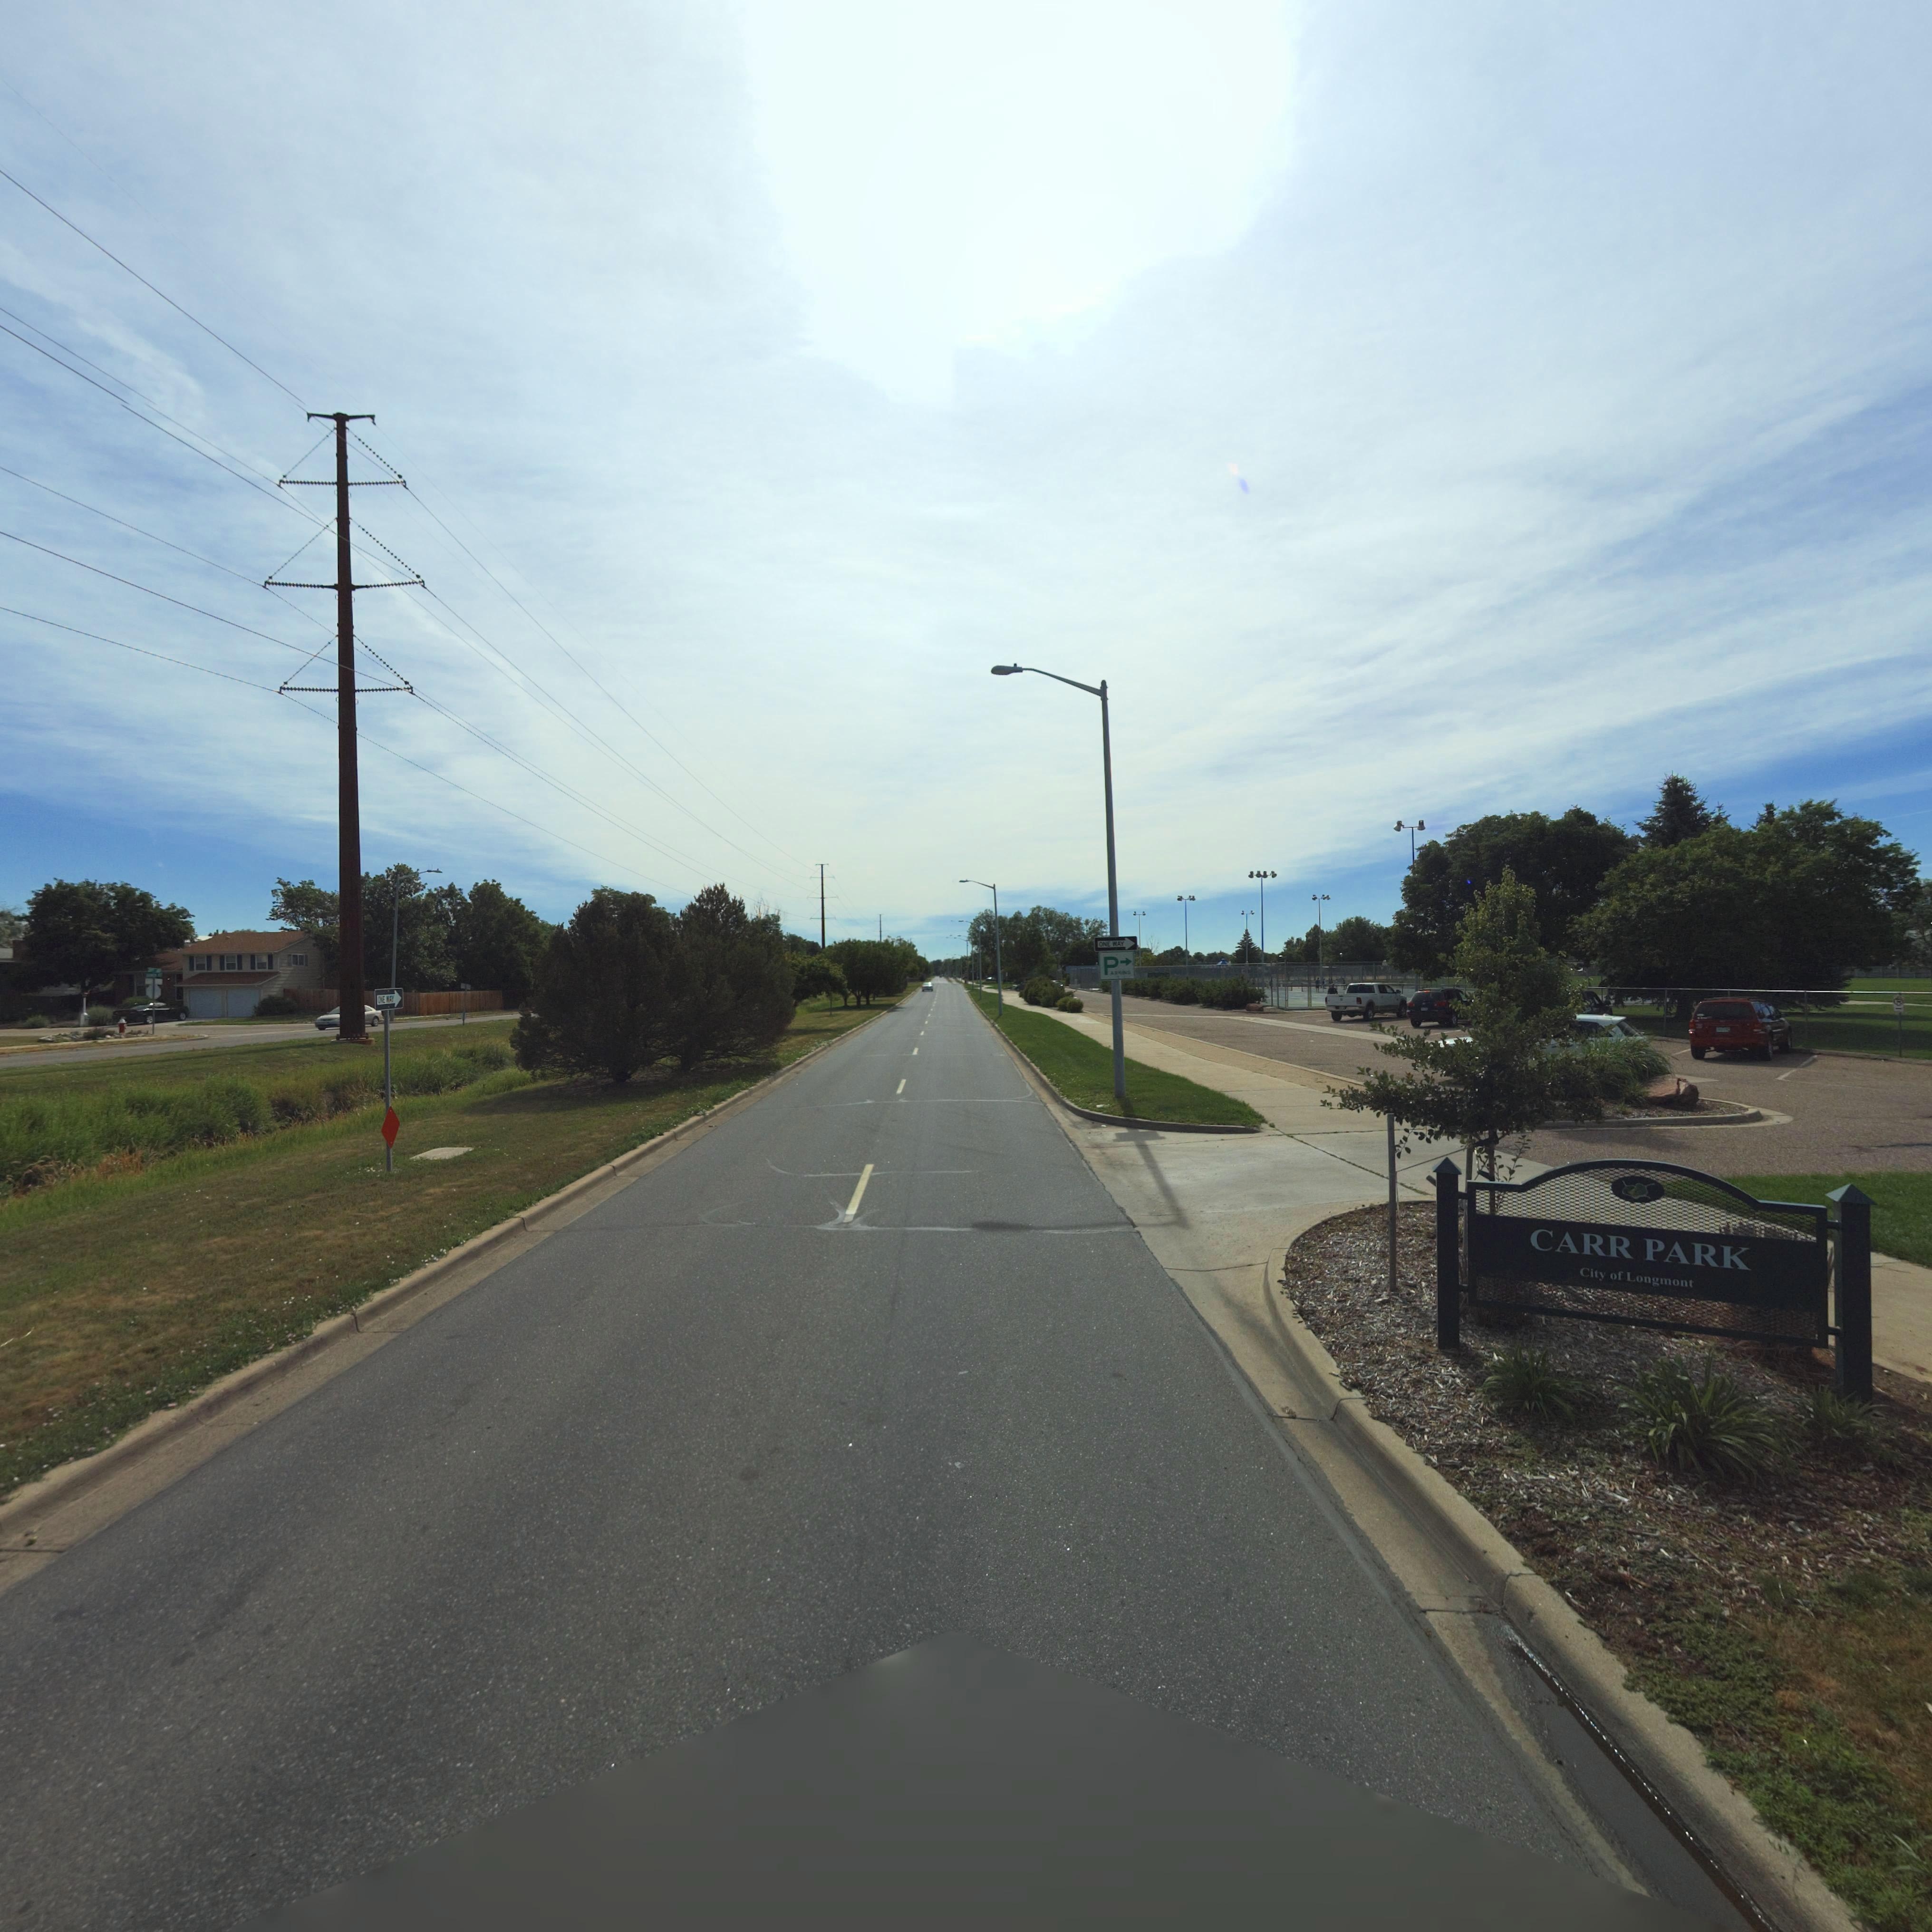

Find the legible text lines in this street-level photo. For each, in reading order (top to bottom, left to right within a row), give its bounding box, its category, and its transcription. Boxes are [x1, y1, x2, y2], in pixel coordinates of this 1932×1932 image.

[1530, 1228, 1750, 1270] BusinessName: CARR PARK